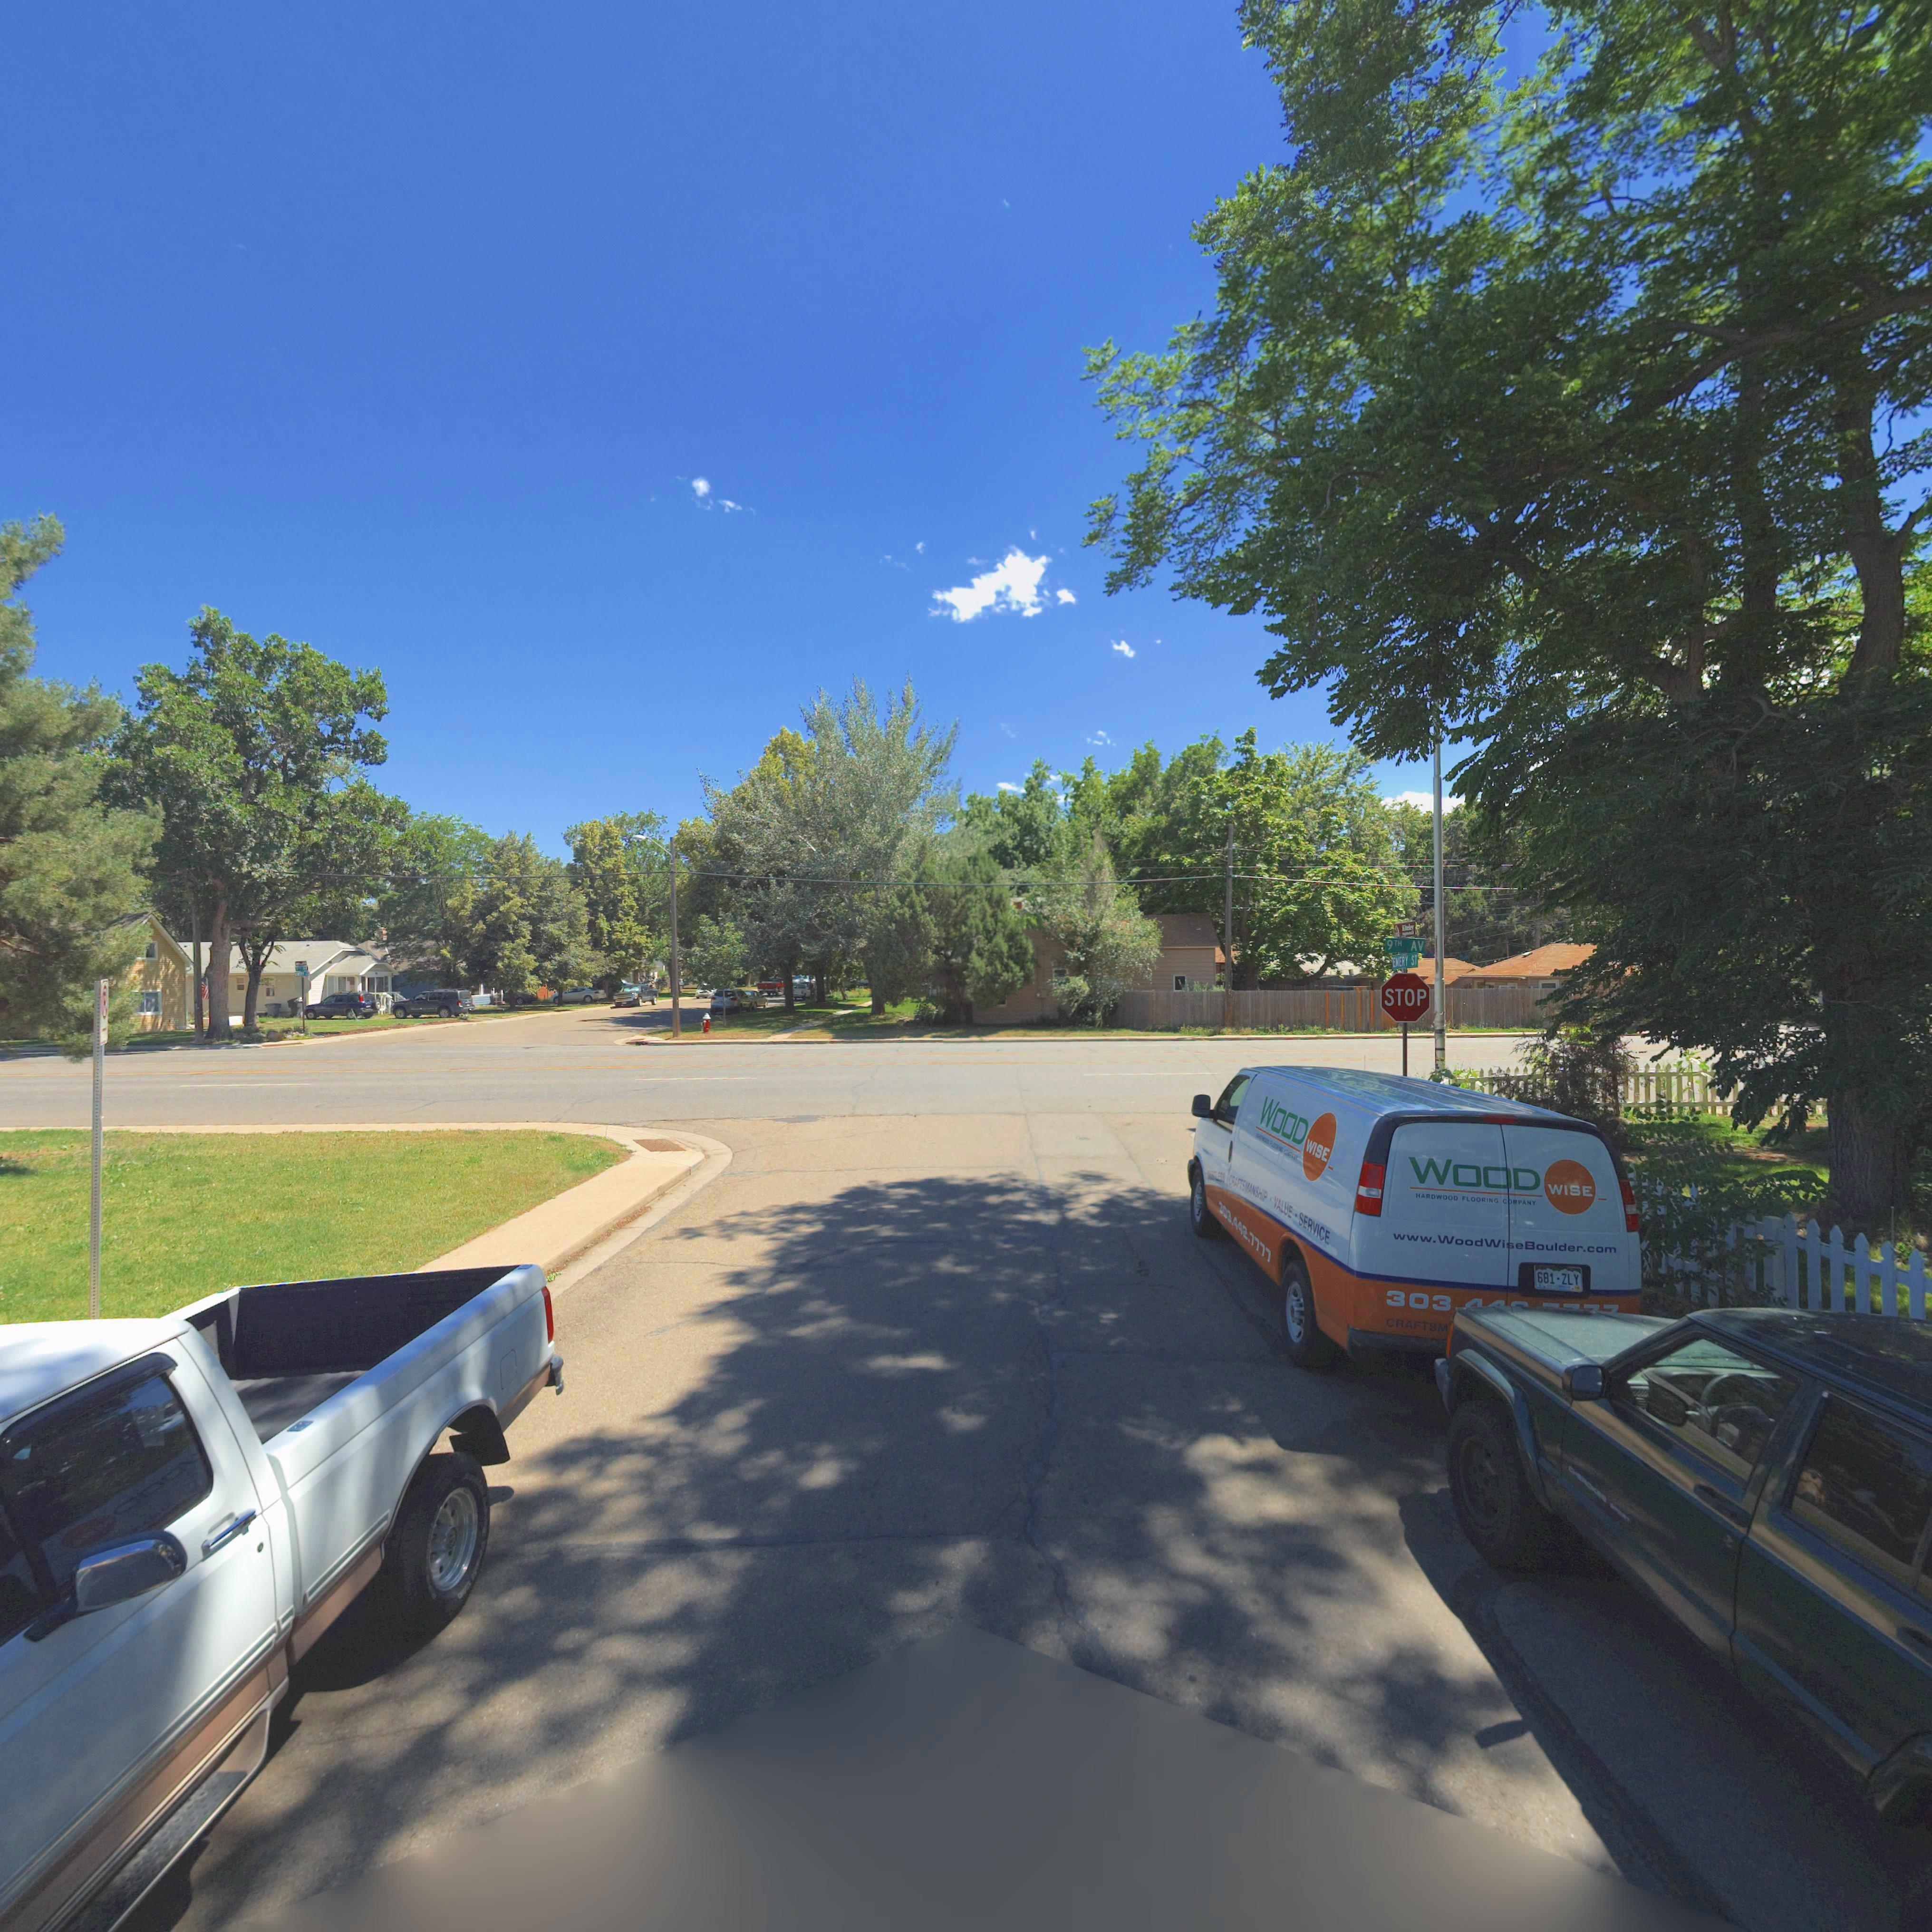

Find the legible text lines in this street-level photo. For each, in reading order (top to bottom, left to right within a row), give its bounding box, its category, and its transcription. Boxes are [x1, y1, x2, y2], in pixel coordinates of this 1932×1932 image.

[1386, 939, 1424, 951] StreetName: 9TH AV
[1392, 954, 1417, 967] StreetName: EMERY ST